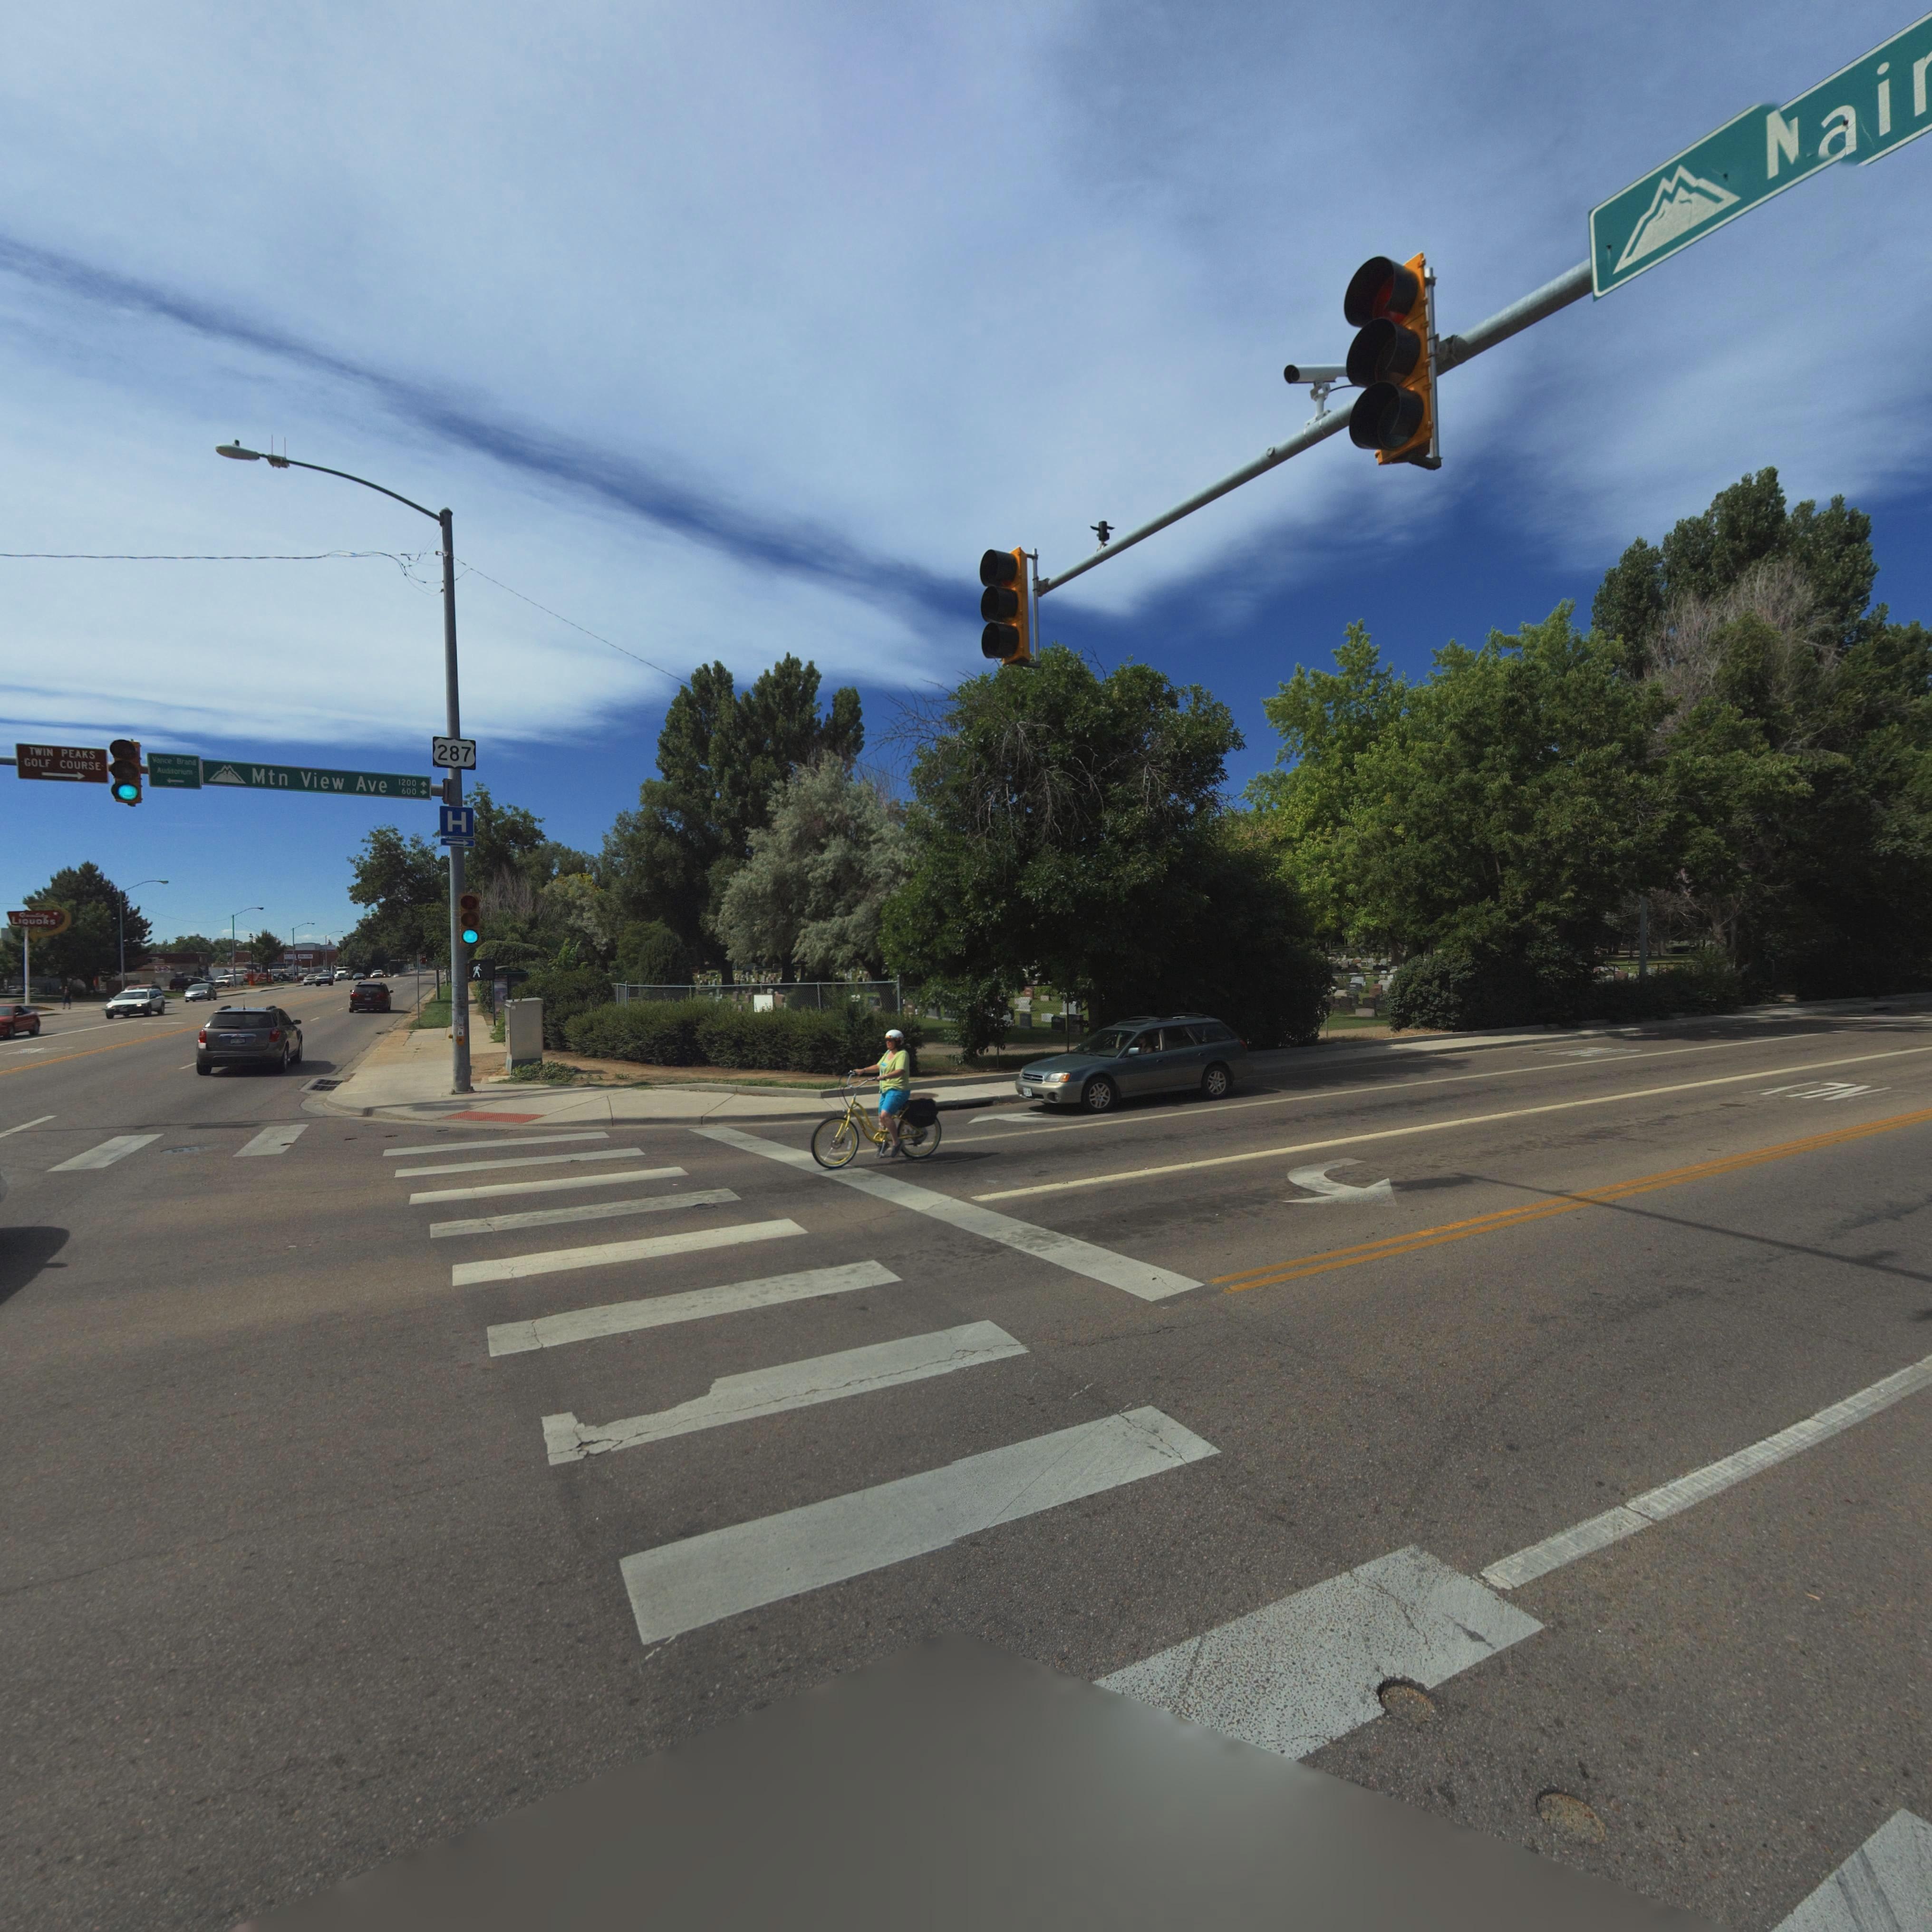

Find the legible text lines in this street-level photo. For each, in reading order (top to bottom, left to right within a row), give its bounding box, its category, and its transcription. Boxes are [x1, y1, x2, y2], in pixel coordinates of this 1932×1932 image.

[1765, 59, 1893, 181] StreetName: **i
[251, 767, 388, 793] StreetName: Mtn View Ave
[398, 778, 416, 786] StreetNumberRange: 1200
[401, 787, 427, 795] StreetNumberRange: 600->
[18, 911, 49, 920] BusinessName: Q******
[11, 916, 56, 925] BusinessName: LIQUORS